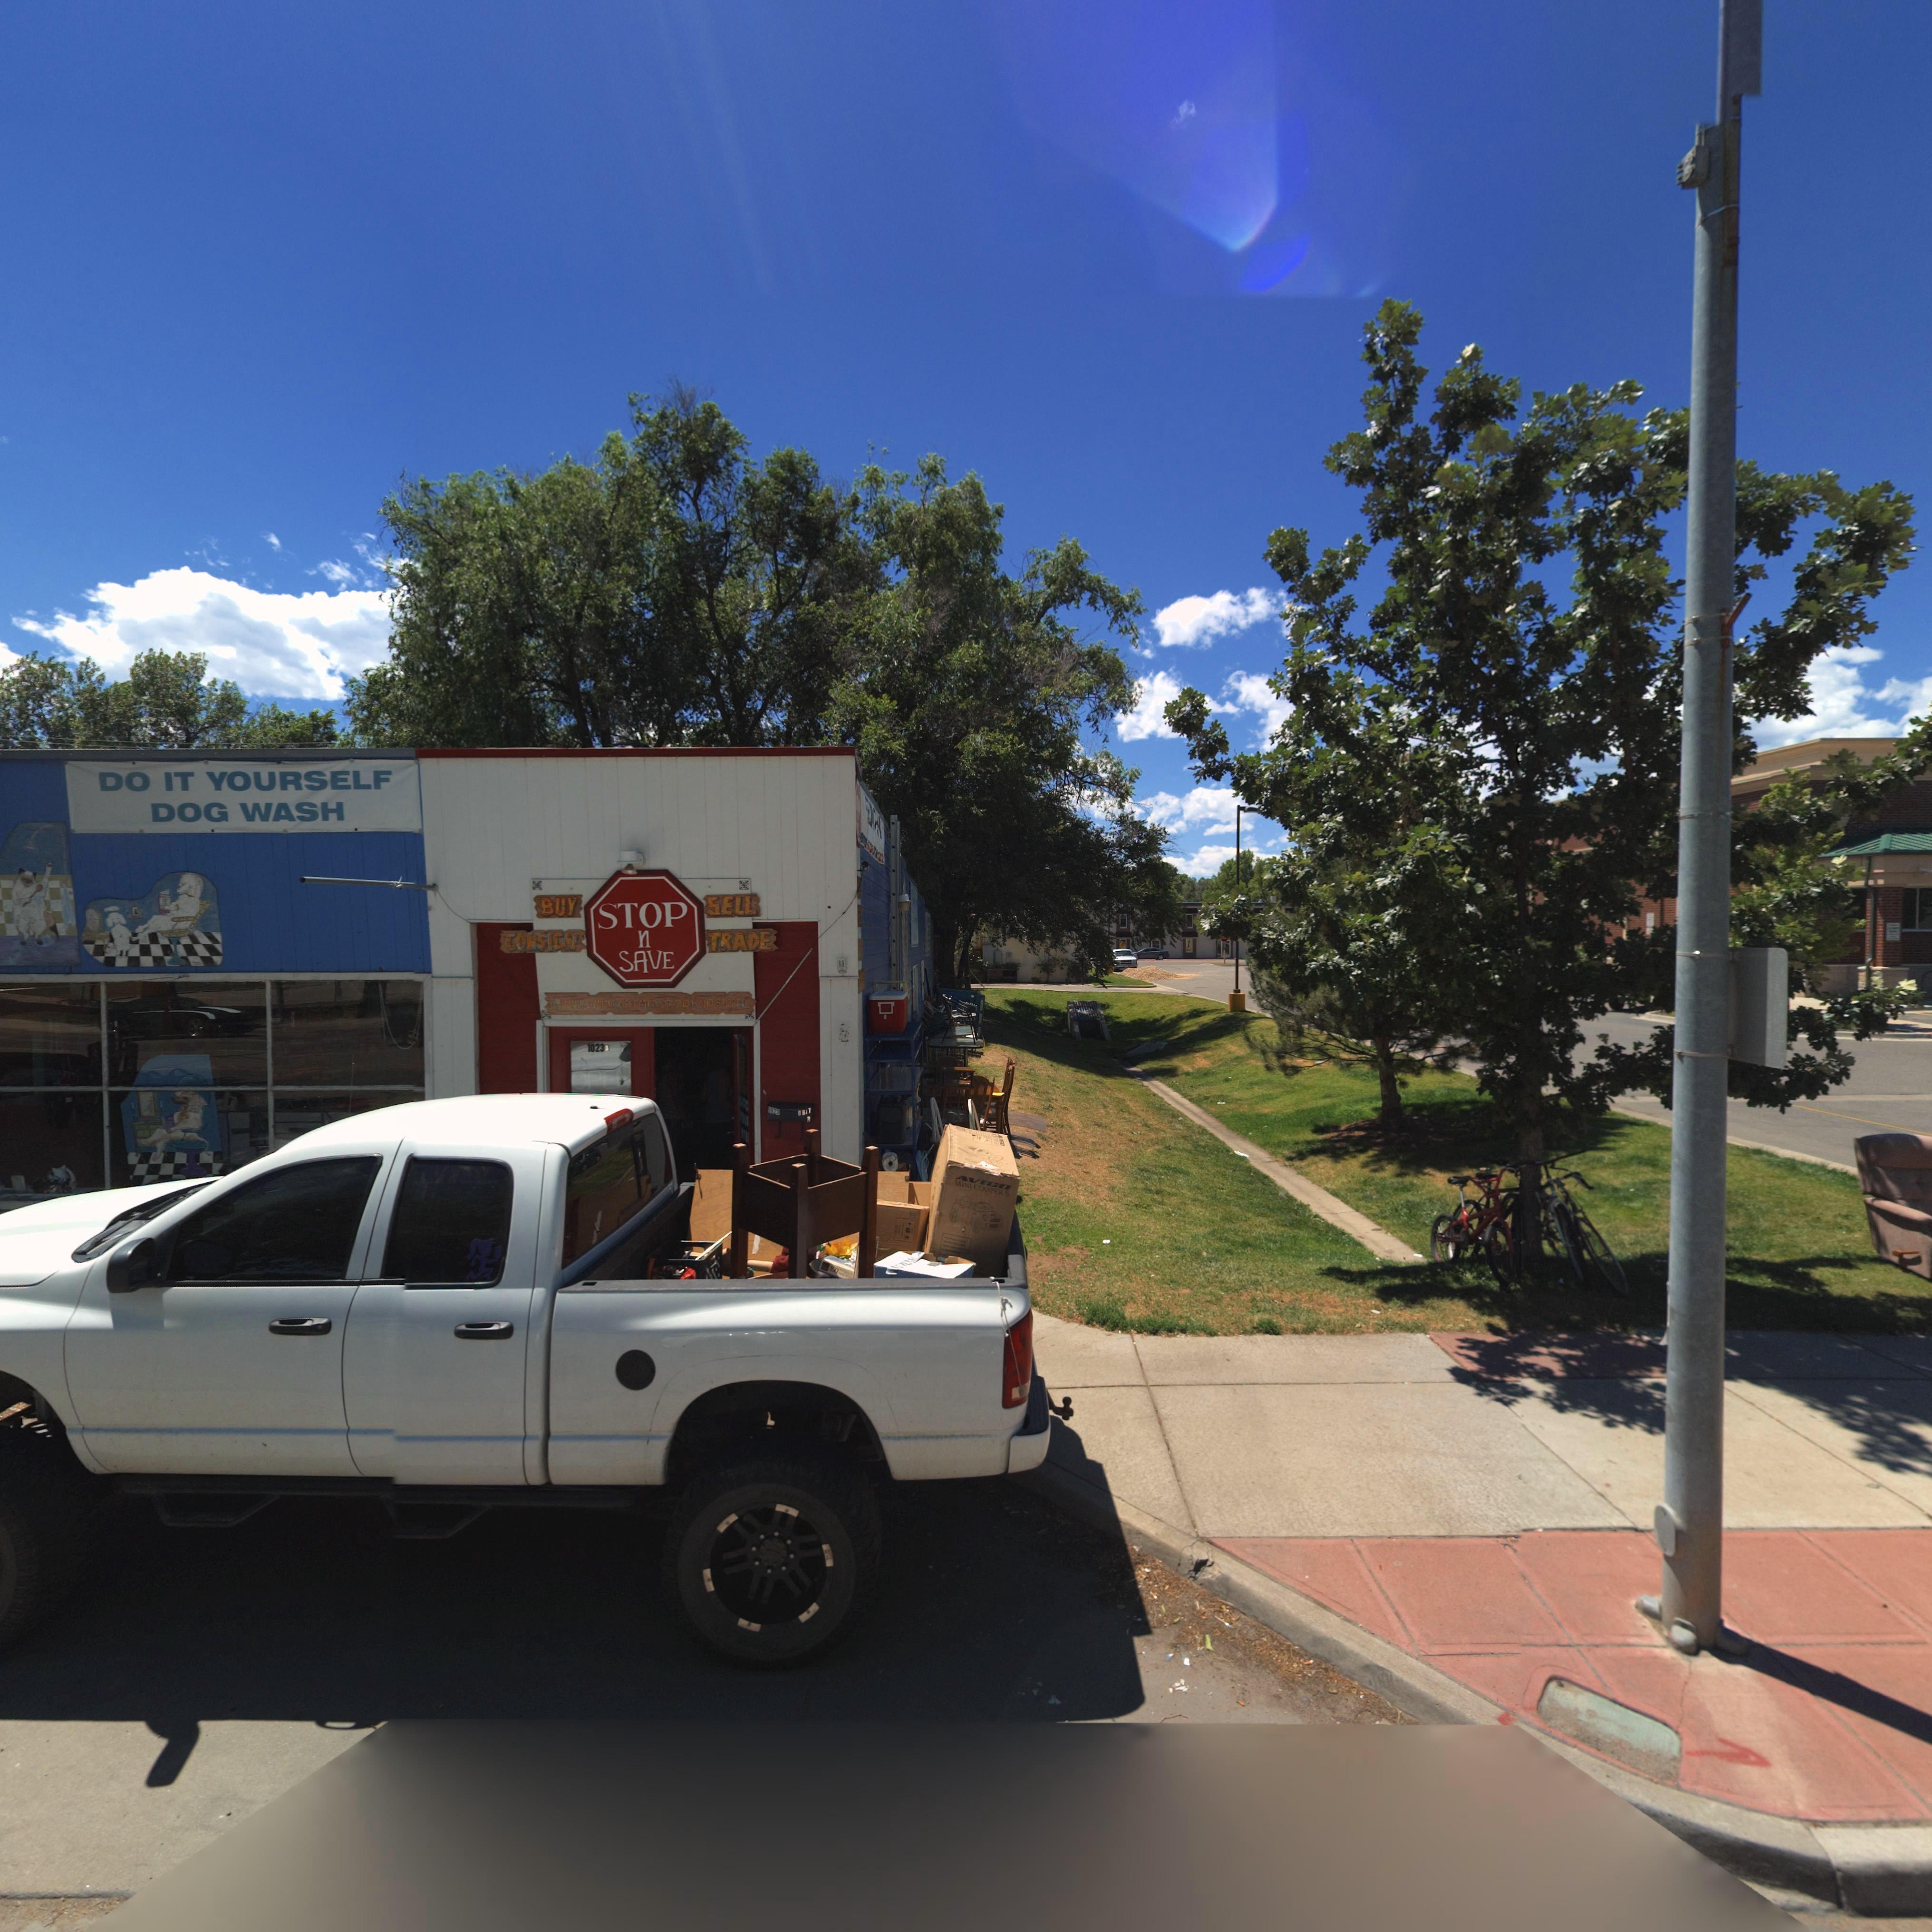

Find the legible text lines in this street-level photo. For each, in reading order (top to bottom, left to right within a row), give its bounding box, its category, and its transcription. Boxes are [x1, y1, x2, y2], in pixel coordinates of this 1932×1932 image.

[597, 901, 688, 929] BusinessName: STOP
[638, 929, 651, 948] BusinessName: n
[618, 949, 675, 973] BusinessName: SAVE
[587, 1043, 605, 1053] StreetNumber: 1023
[604, 1044, 609, 1052] SecondaryUnitDesignator: B
[768, 1106, 779, 1115] StreetNumber: 1023
[797, 1107, 811, 1116] SecondaryUnitDesignator: UNIT
[807, 1116, 810, 1122] SecondaryUnitDesignator: A